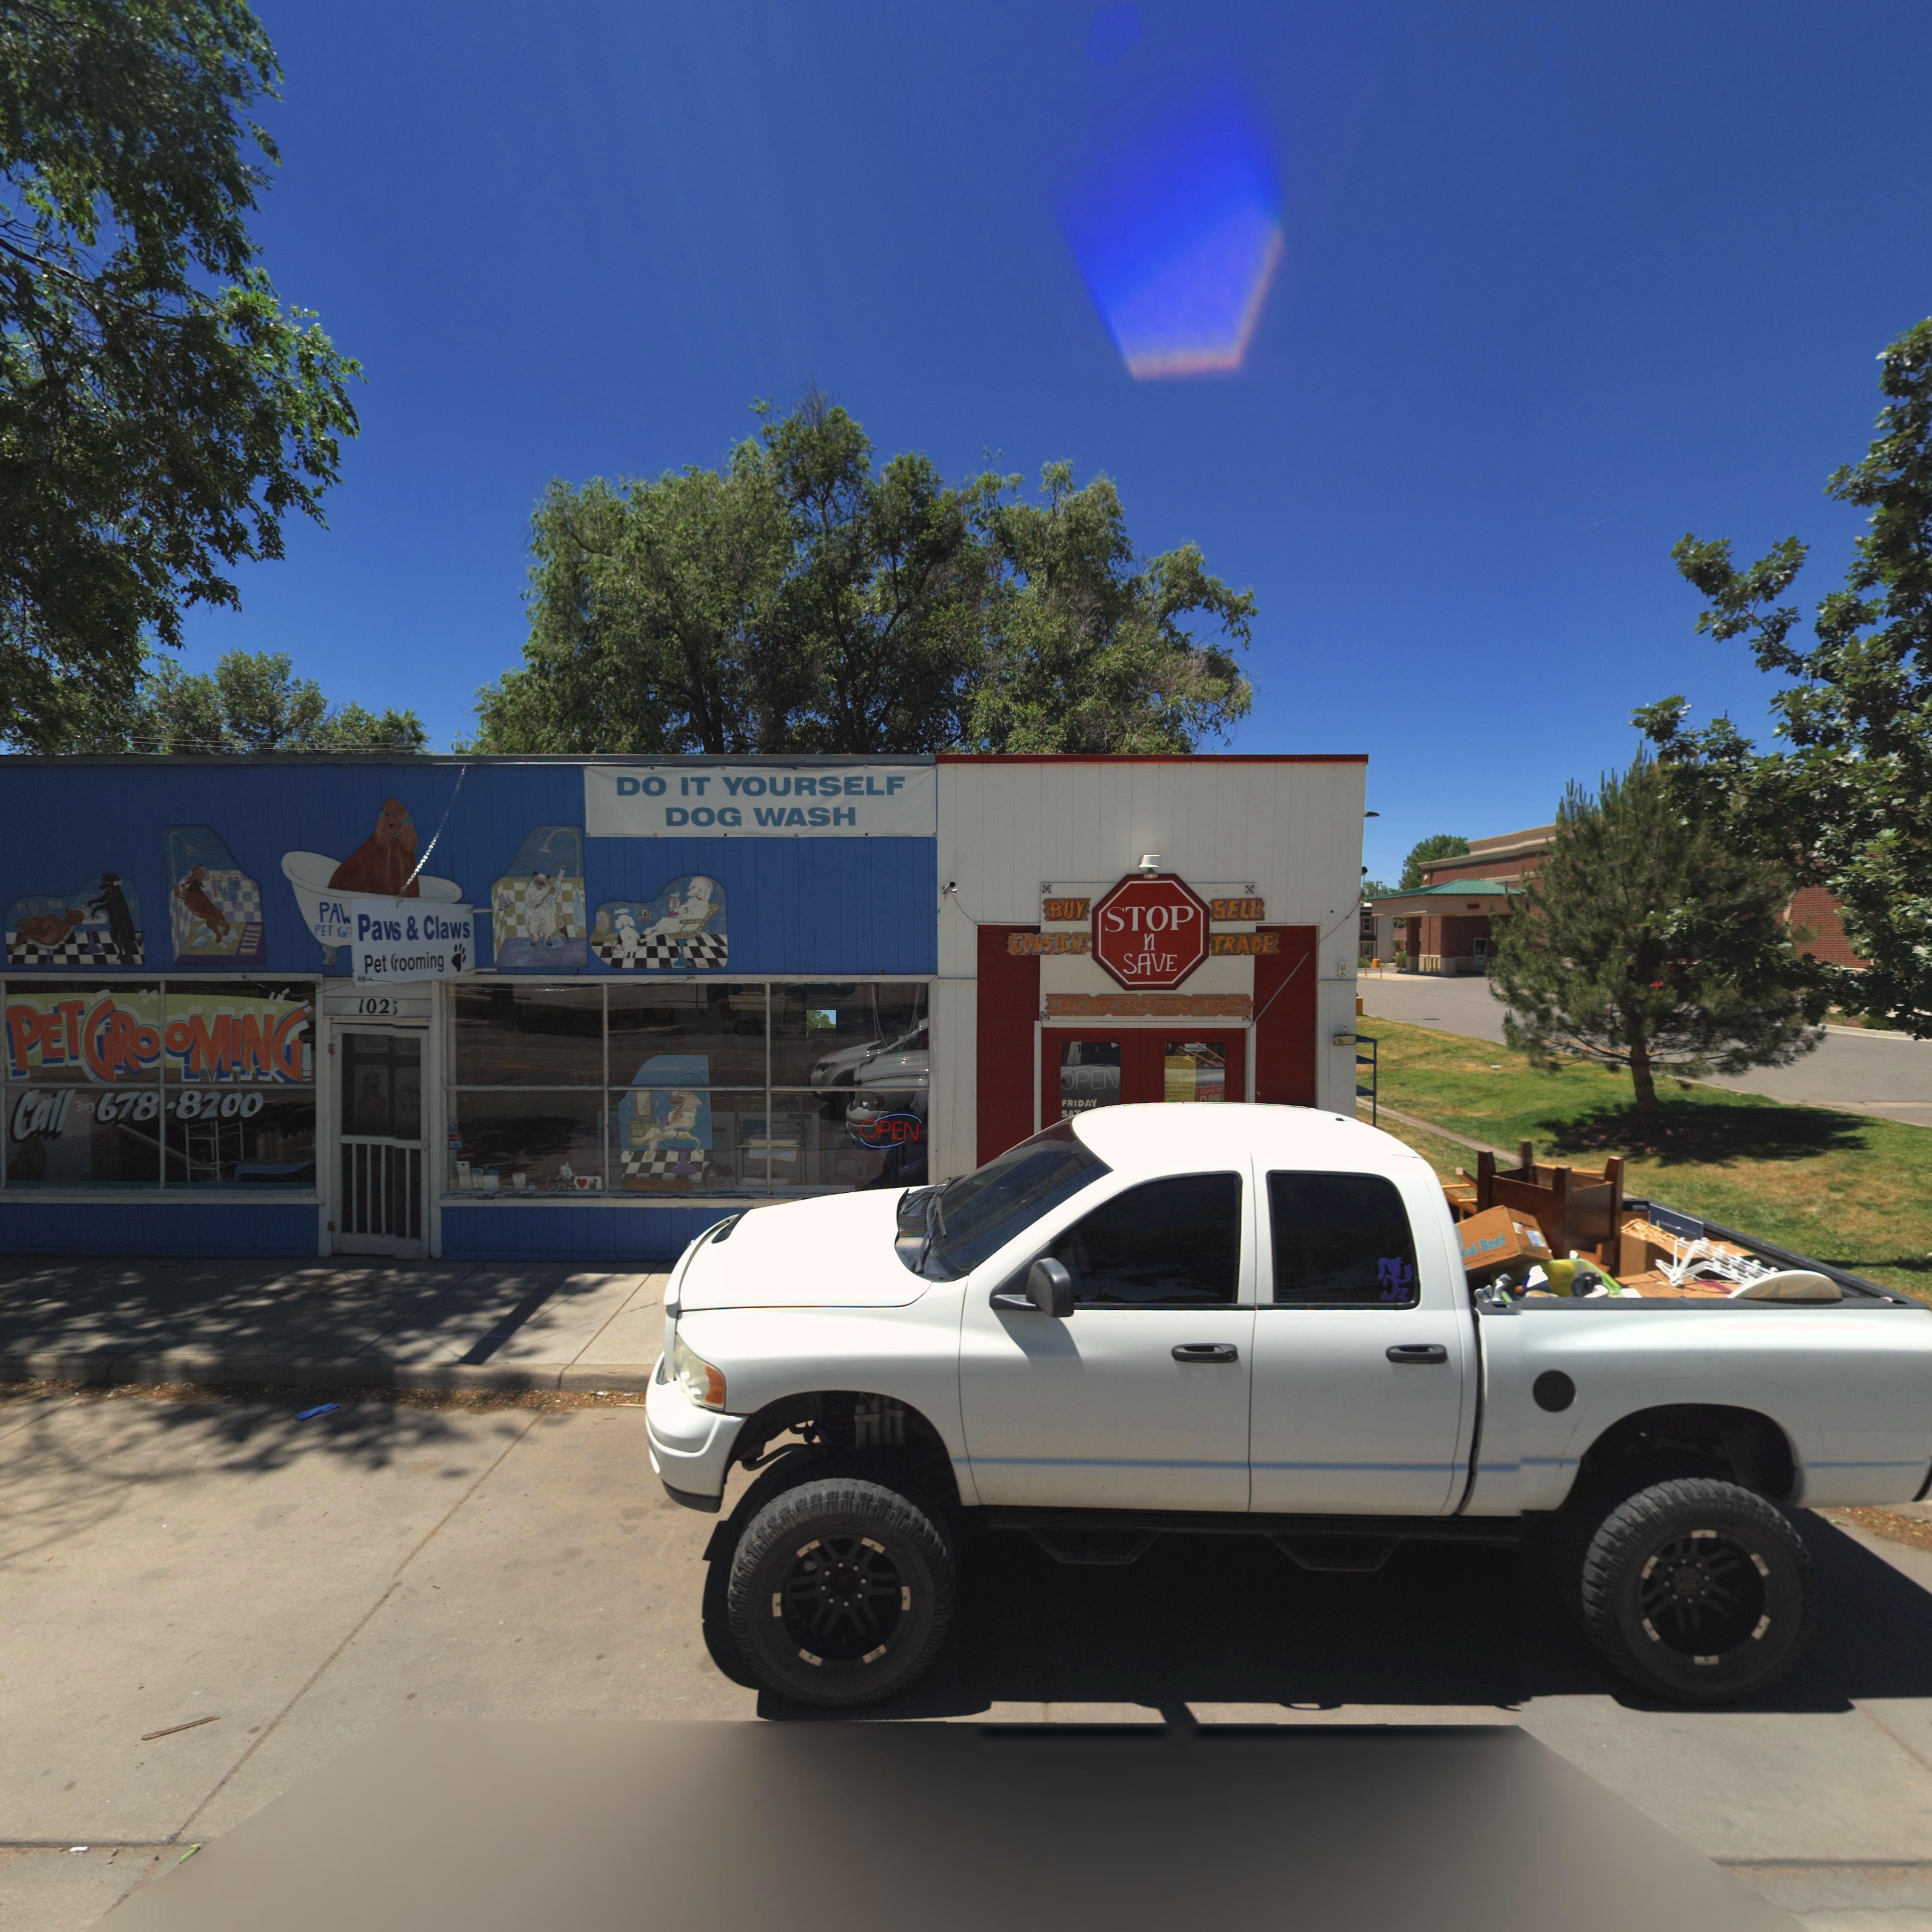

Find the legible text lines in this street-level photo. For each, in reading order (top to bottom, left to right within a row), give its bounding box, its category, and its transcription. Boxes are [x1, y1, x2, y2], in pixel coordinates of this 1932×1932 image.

[318, 901, 352, 925] BusinessName: PAW
[357, 913, 472, 942] BusinessName: Pa** * Claws
[1103, 905, 1195, 933] BusinessName: STOP
[1142, 933, 1155, 951] BusinessName: n
[363, 950, 444, 975] BusinessName: Pet *rooming
[1121, 952, 1178, 976] BusinessName: SAVE
[358, 997, 399, 1016] StreetNumber: 102*
[364, 1035, 421, 1051] BusinessName: Paws & Claws